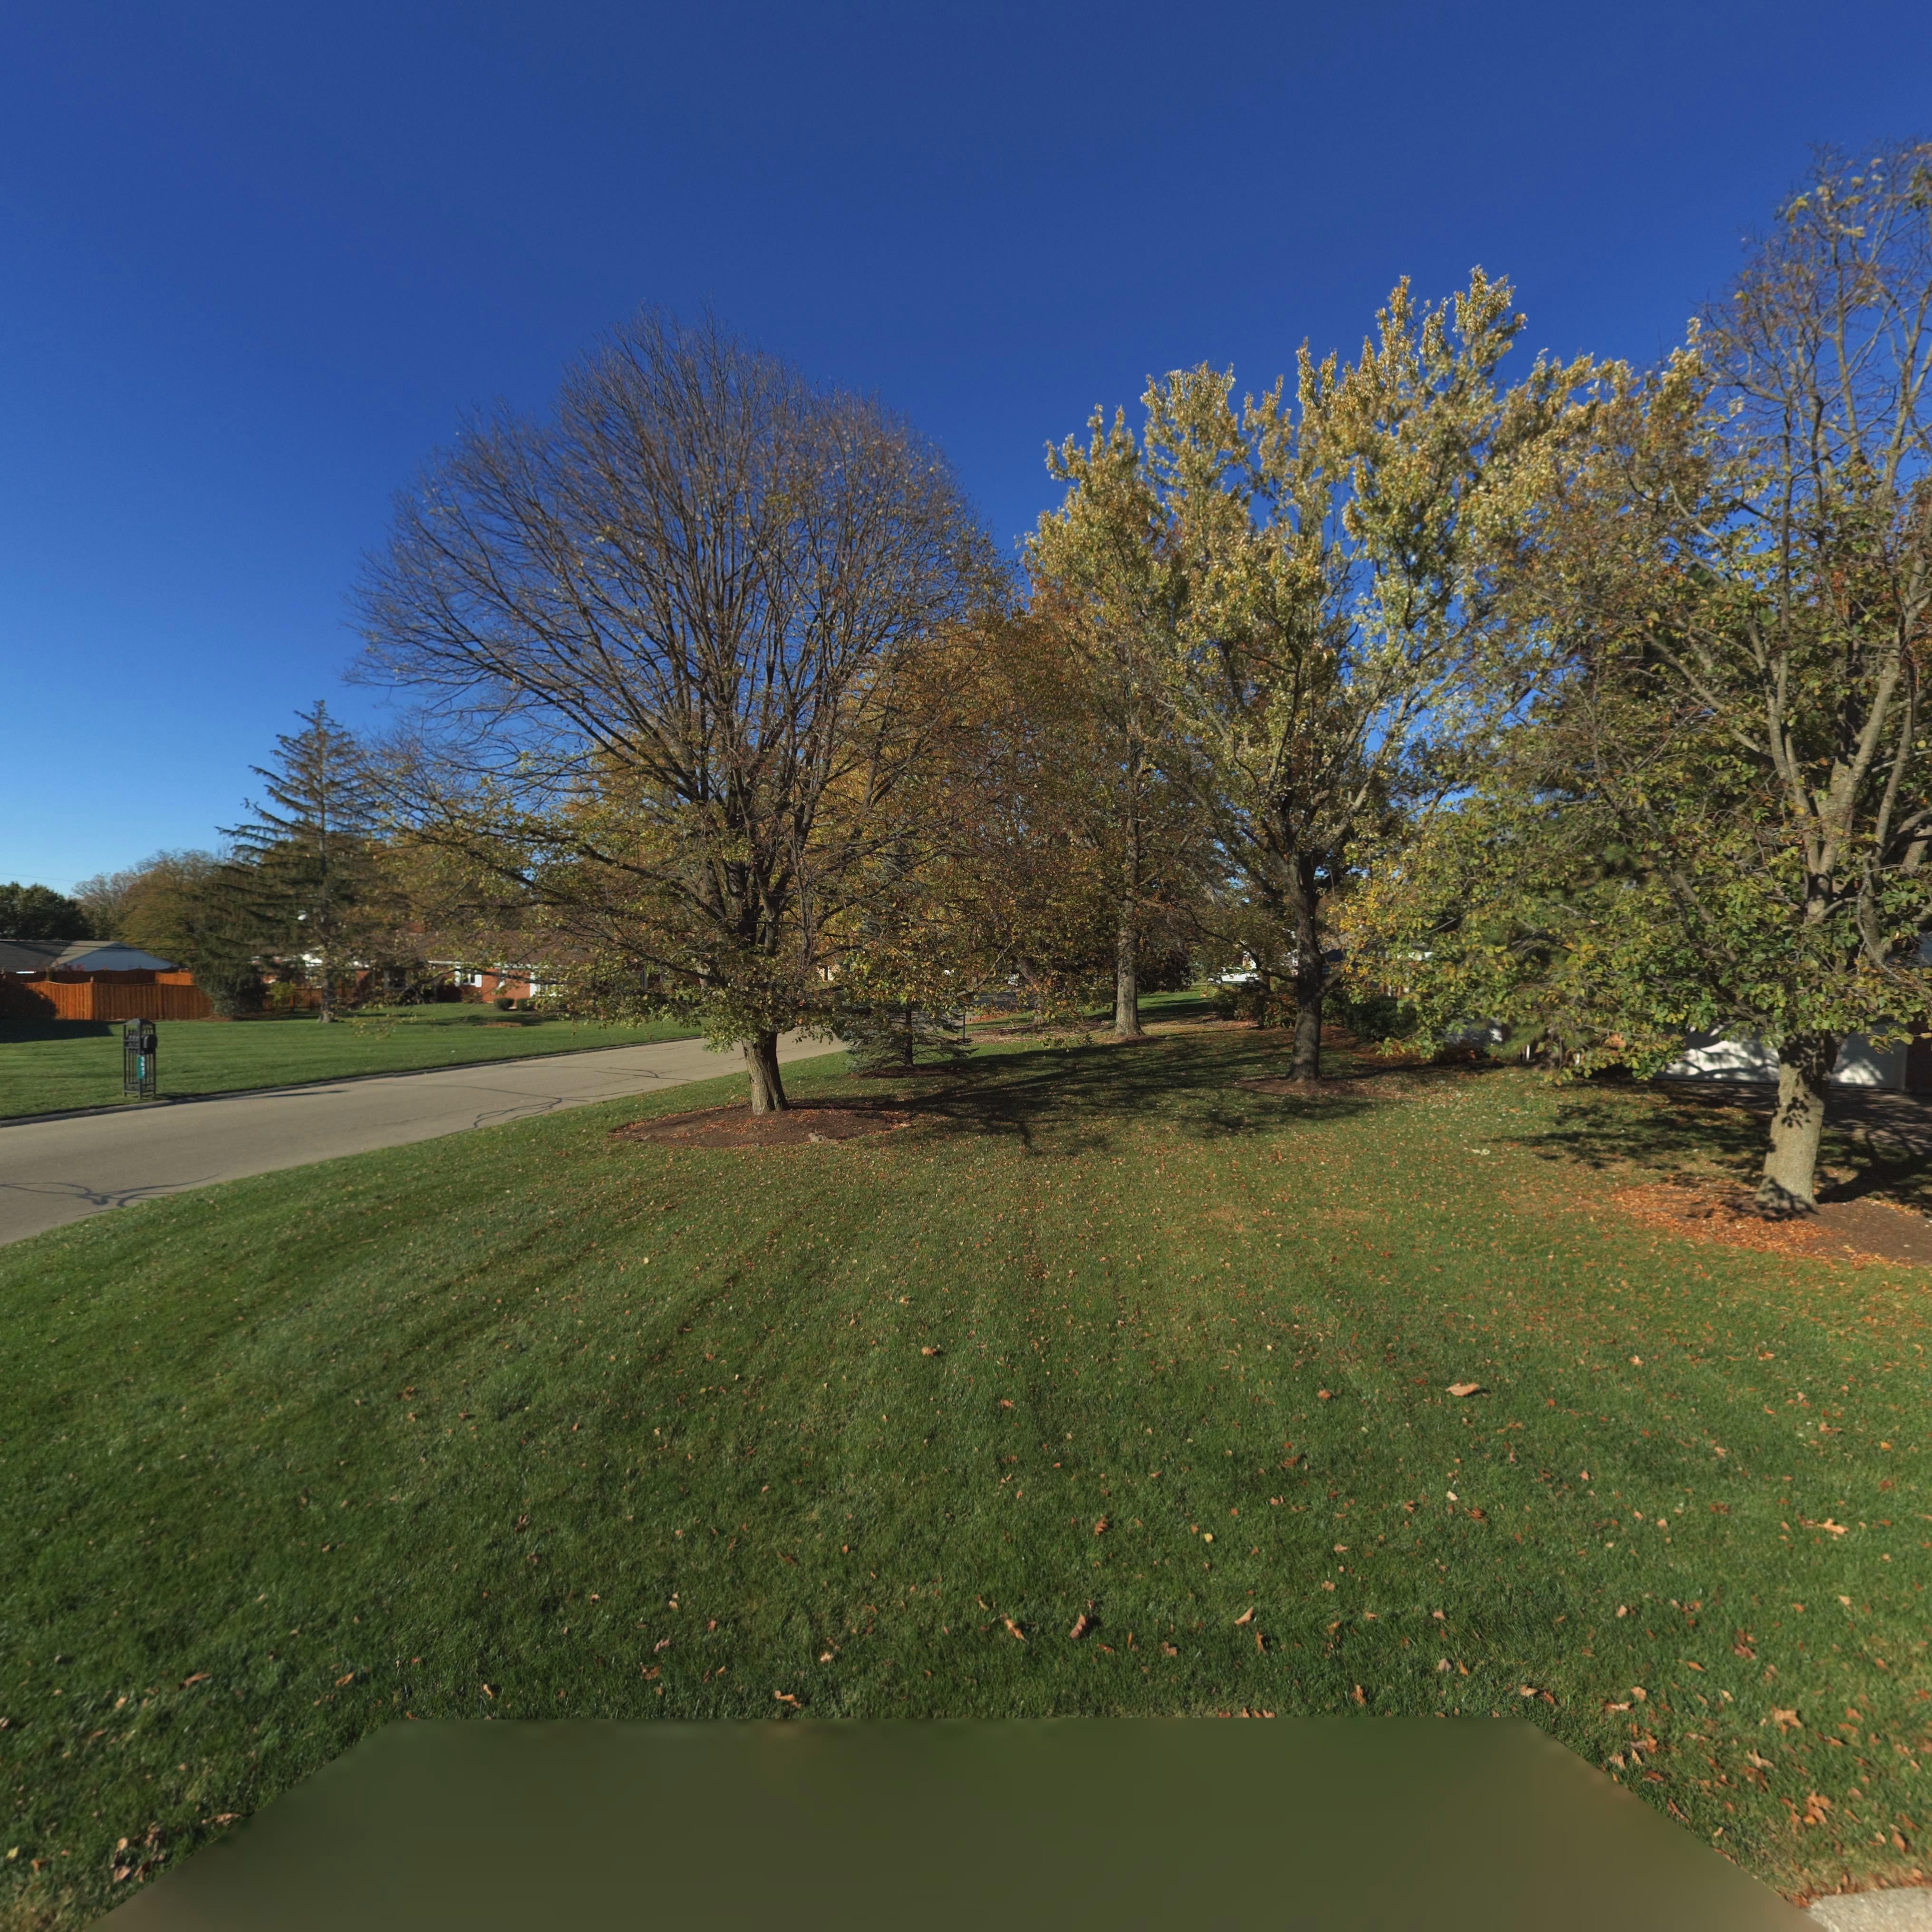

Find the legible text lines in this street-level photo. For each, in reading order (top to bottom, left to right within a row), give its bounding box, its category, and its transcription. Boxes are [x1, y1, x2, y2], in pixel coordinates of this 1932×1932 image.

[140, 1055, 145, 1077] StreetNumber: 5647